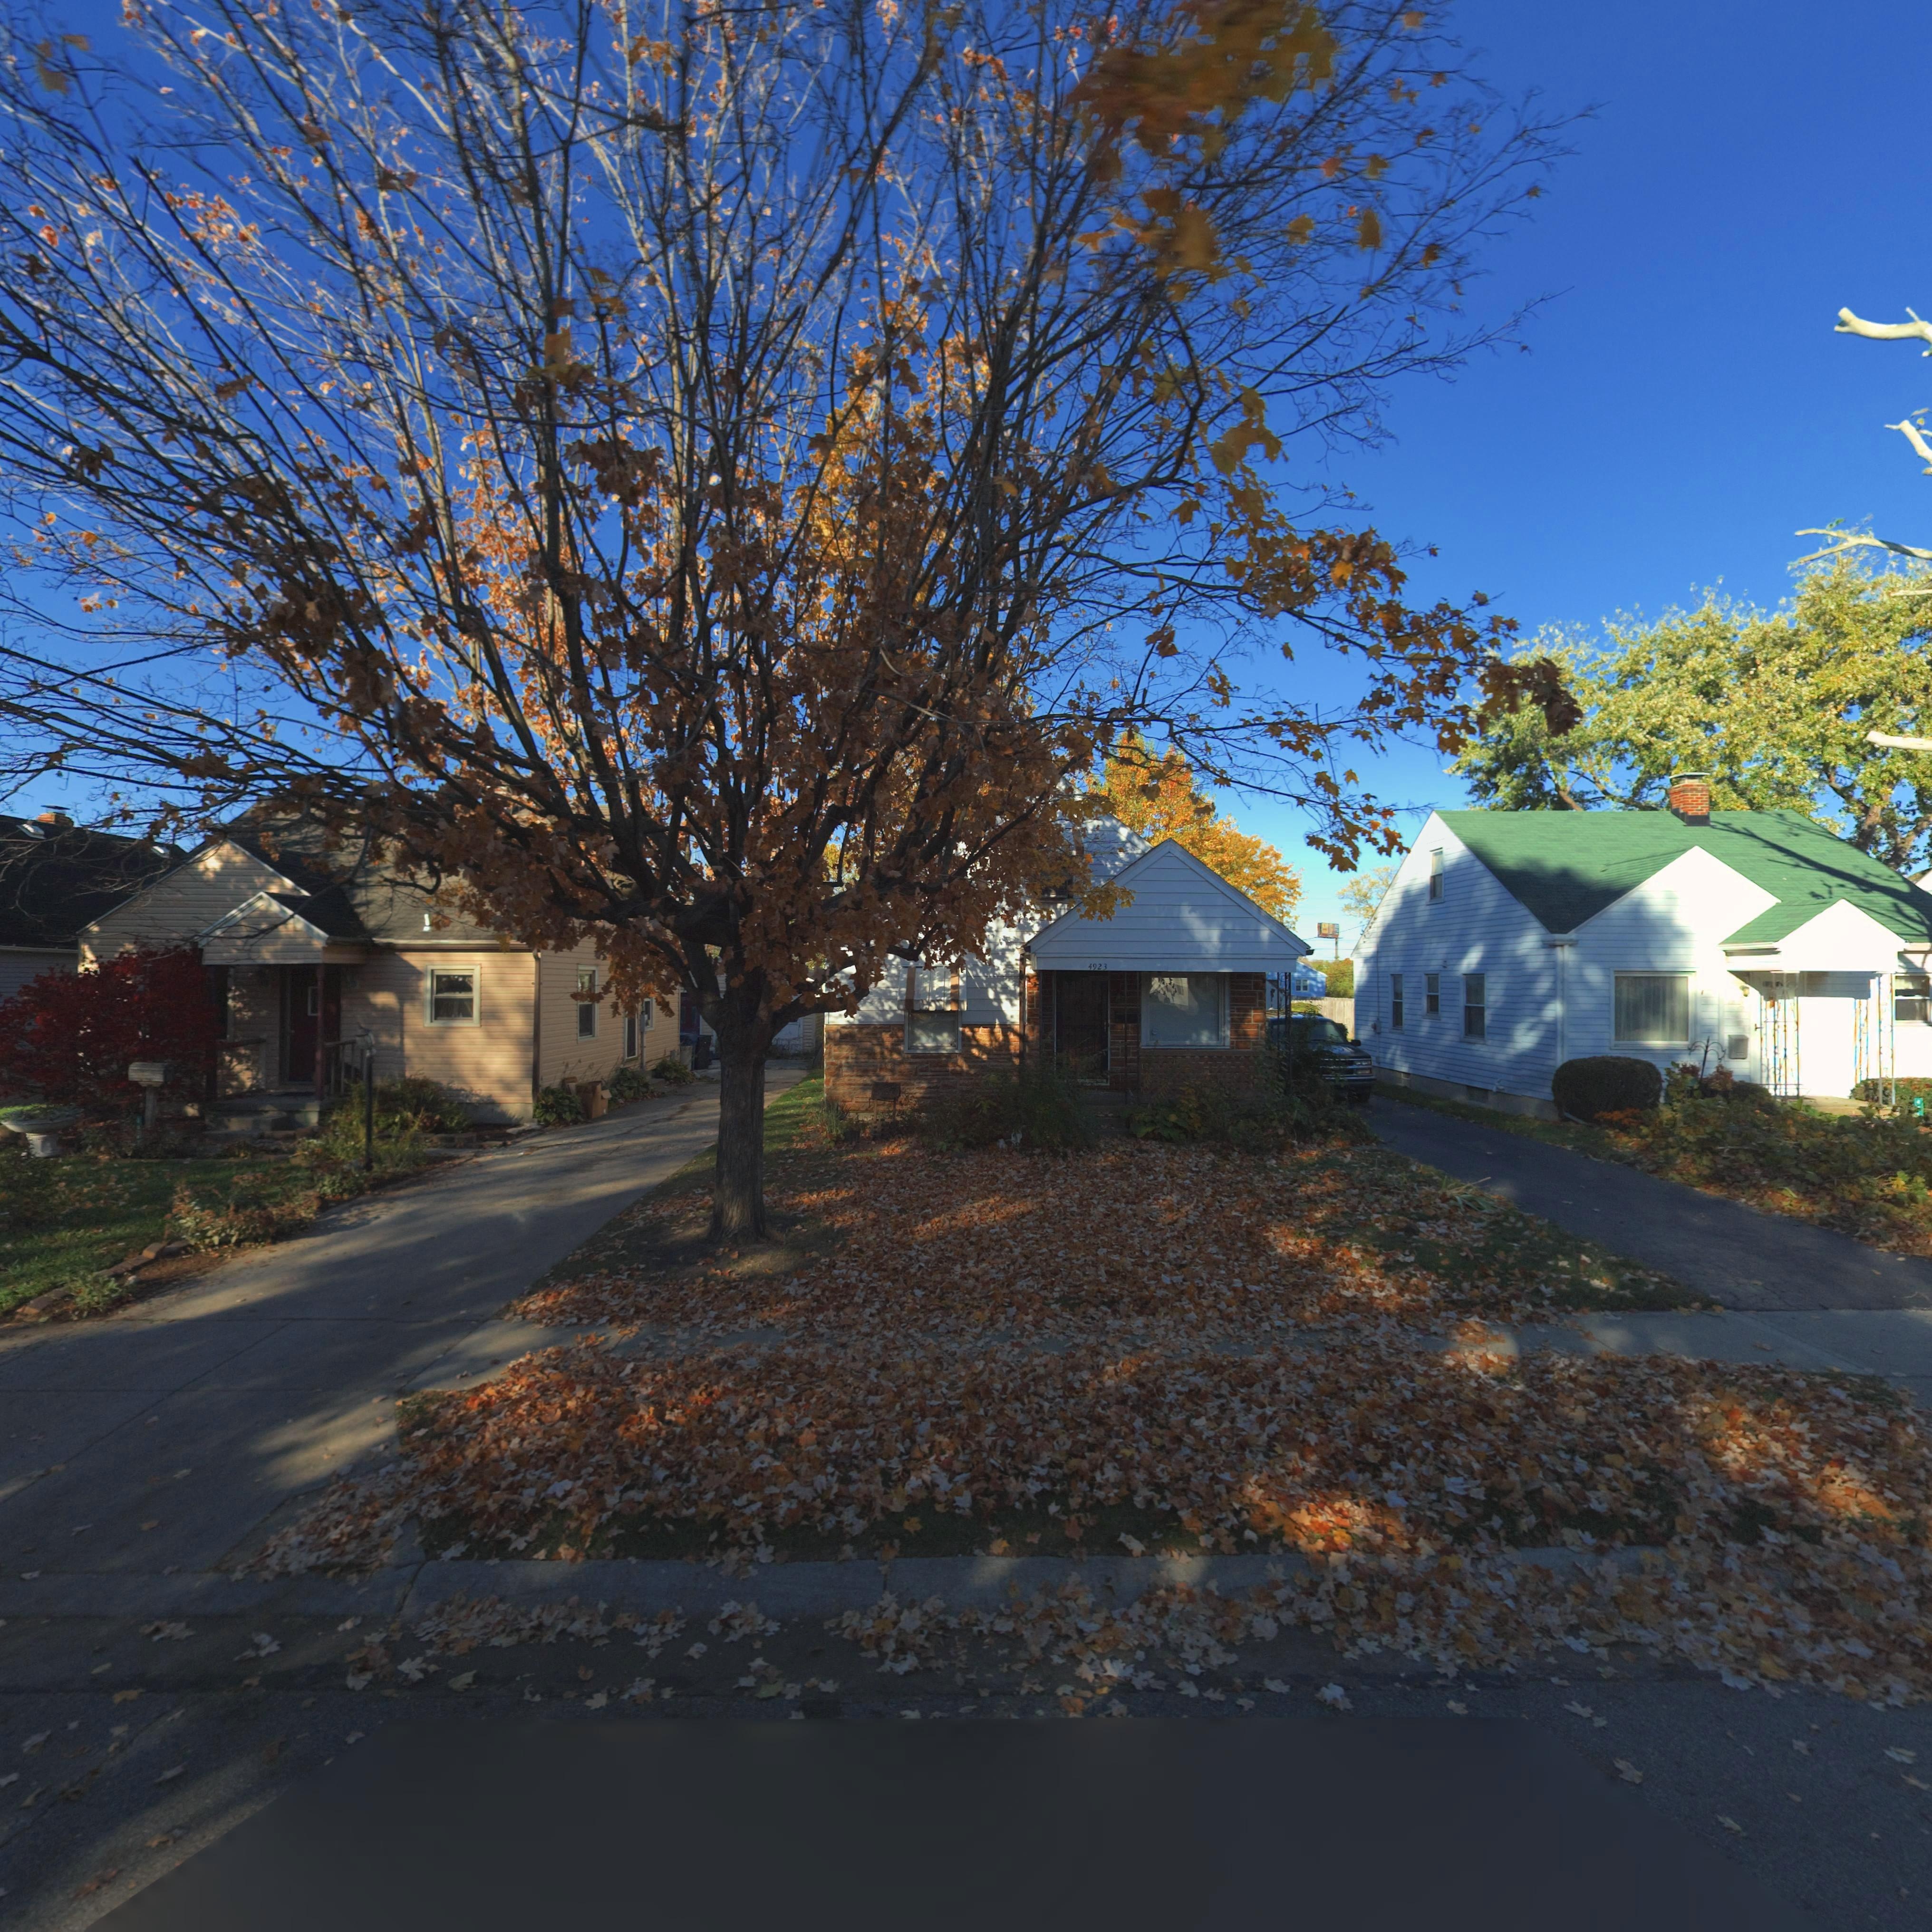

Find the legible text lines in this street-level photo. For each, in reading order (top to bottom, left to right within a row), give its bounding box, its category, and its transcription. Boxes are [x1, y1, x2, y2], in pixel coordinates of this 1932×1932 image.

[1087, 963, 1108, 970] StreetNumber: 4923